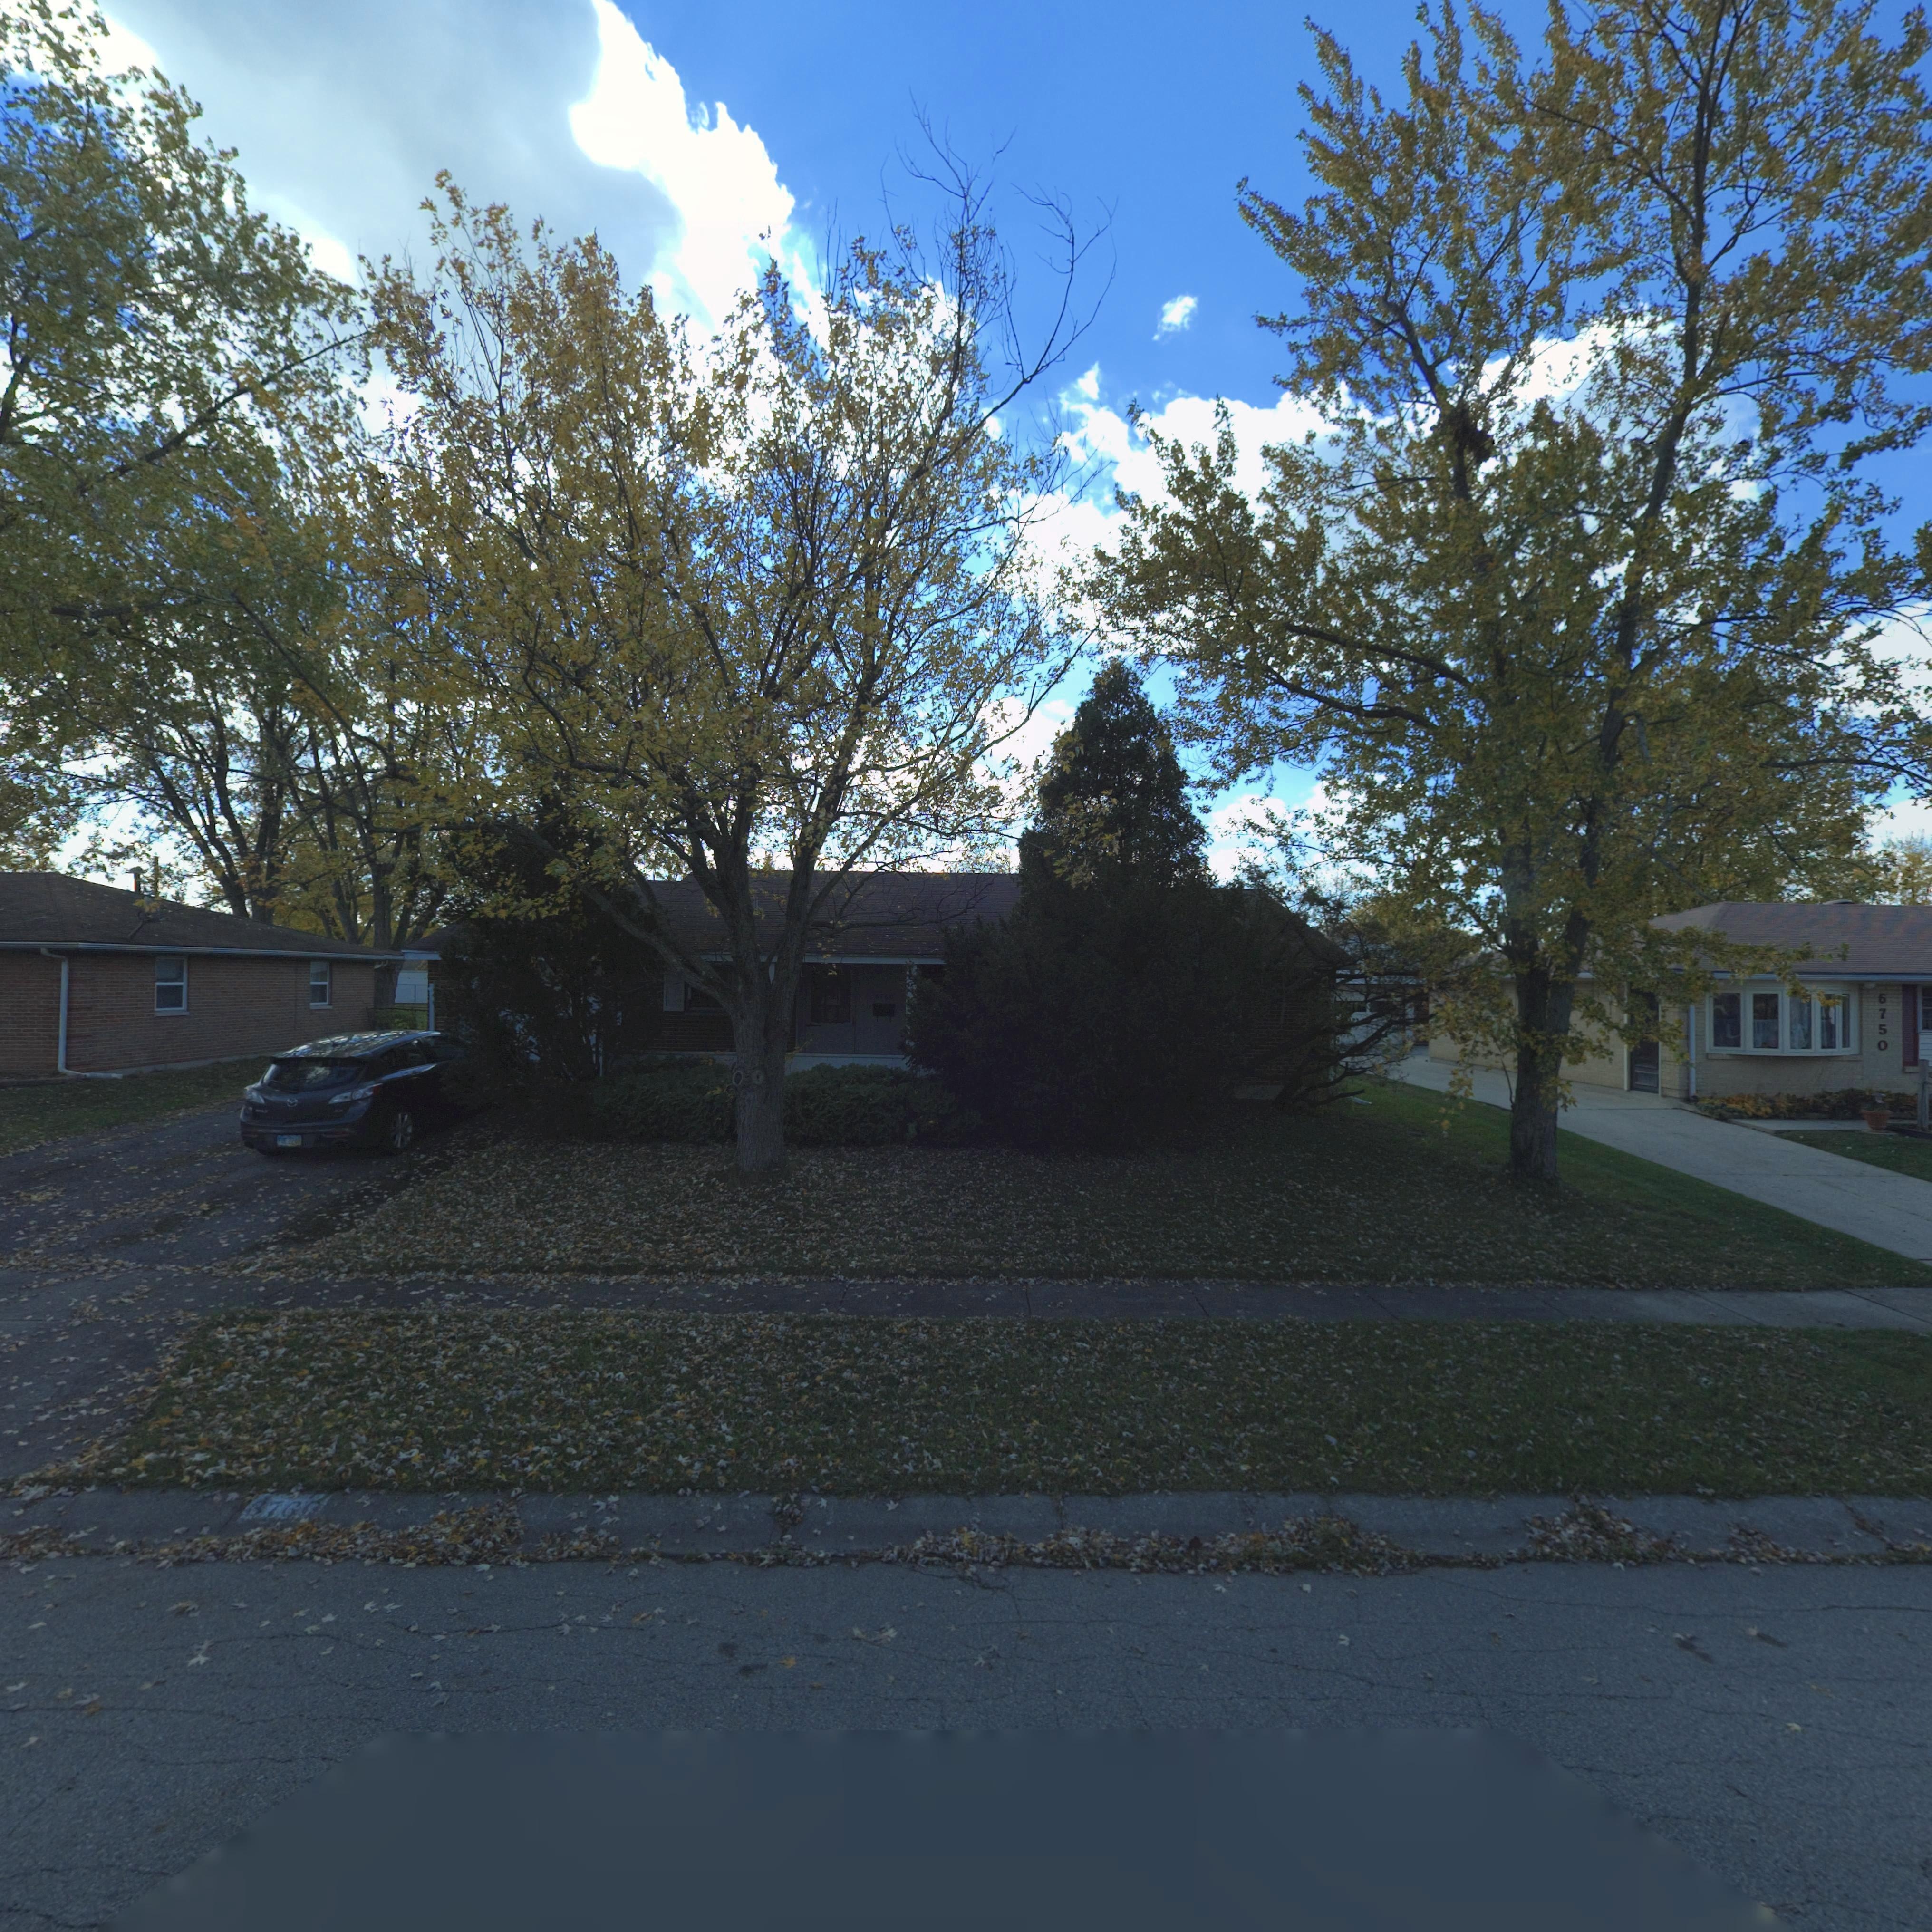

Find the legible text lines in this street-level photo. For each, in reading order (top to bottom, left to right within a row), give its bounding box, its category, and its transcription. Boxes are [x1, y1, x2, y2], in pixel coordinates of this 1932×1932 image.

[1877, 992, 1888, 1052] StreetNumber: 6750
[244, 1498, 322, 1520] StreetNumber: 6760